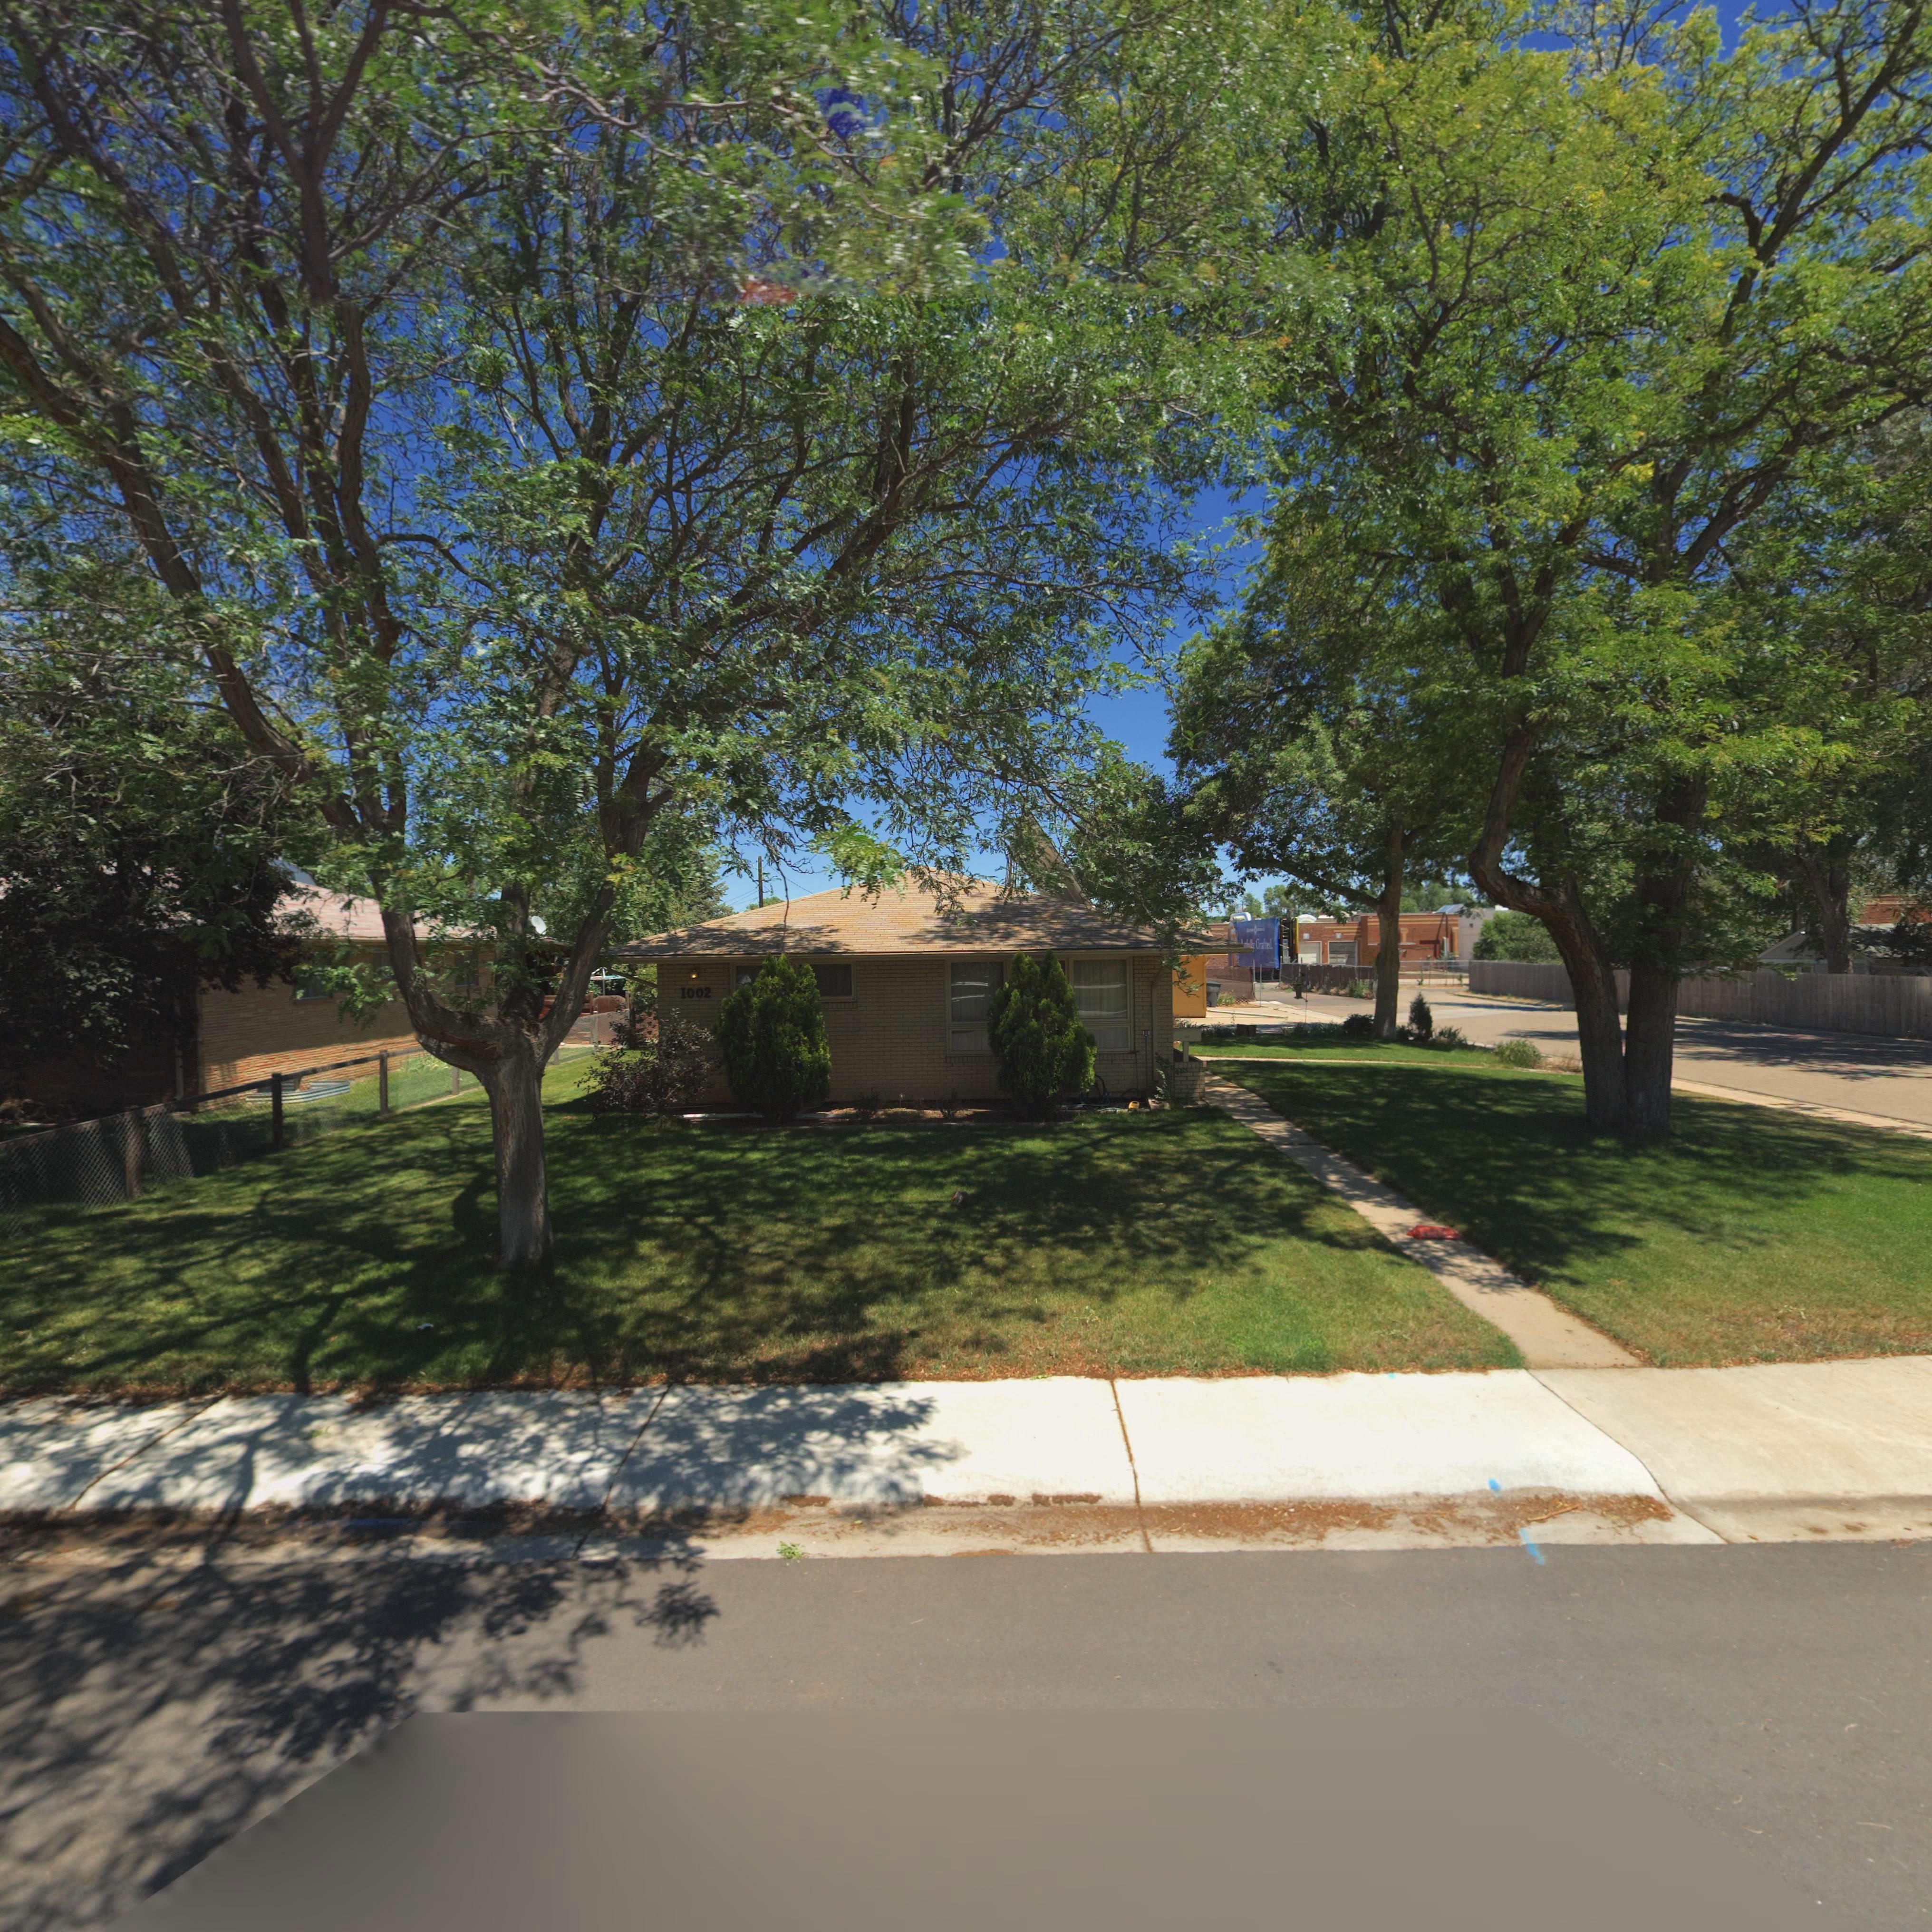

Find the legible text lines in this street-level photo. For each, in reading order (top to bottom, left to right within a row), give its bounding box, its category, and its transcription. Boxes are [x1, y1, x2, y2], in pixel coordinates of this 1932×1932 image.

[680, 986, 711, 999] StreetNumber: 1002